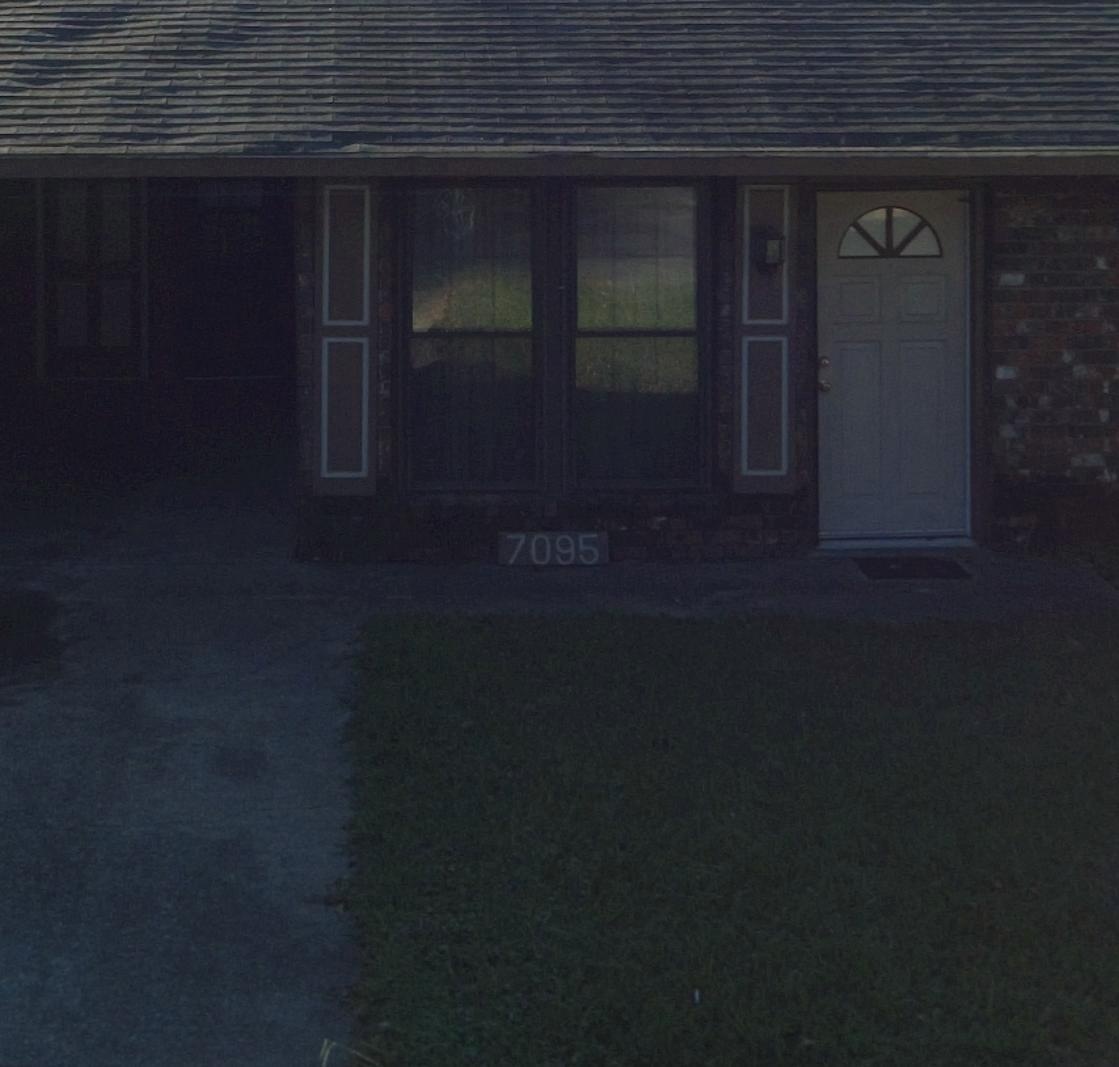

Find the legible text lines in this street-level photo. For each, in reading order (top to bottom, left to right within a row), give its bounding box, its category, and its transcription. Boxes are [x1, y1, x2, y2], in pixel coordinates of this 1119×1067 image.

[504, 532, 600, 567] StreetNumber: 7095